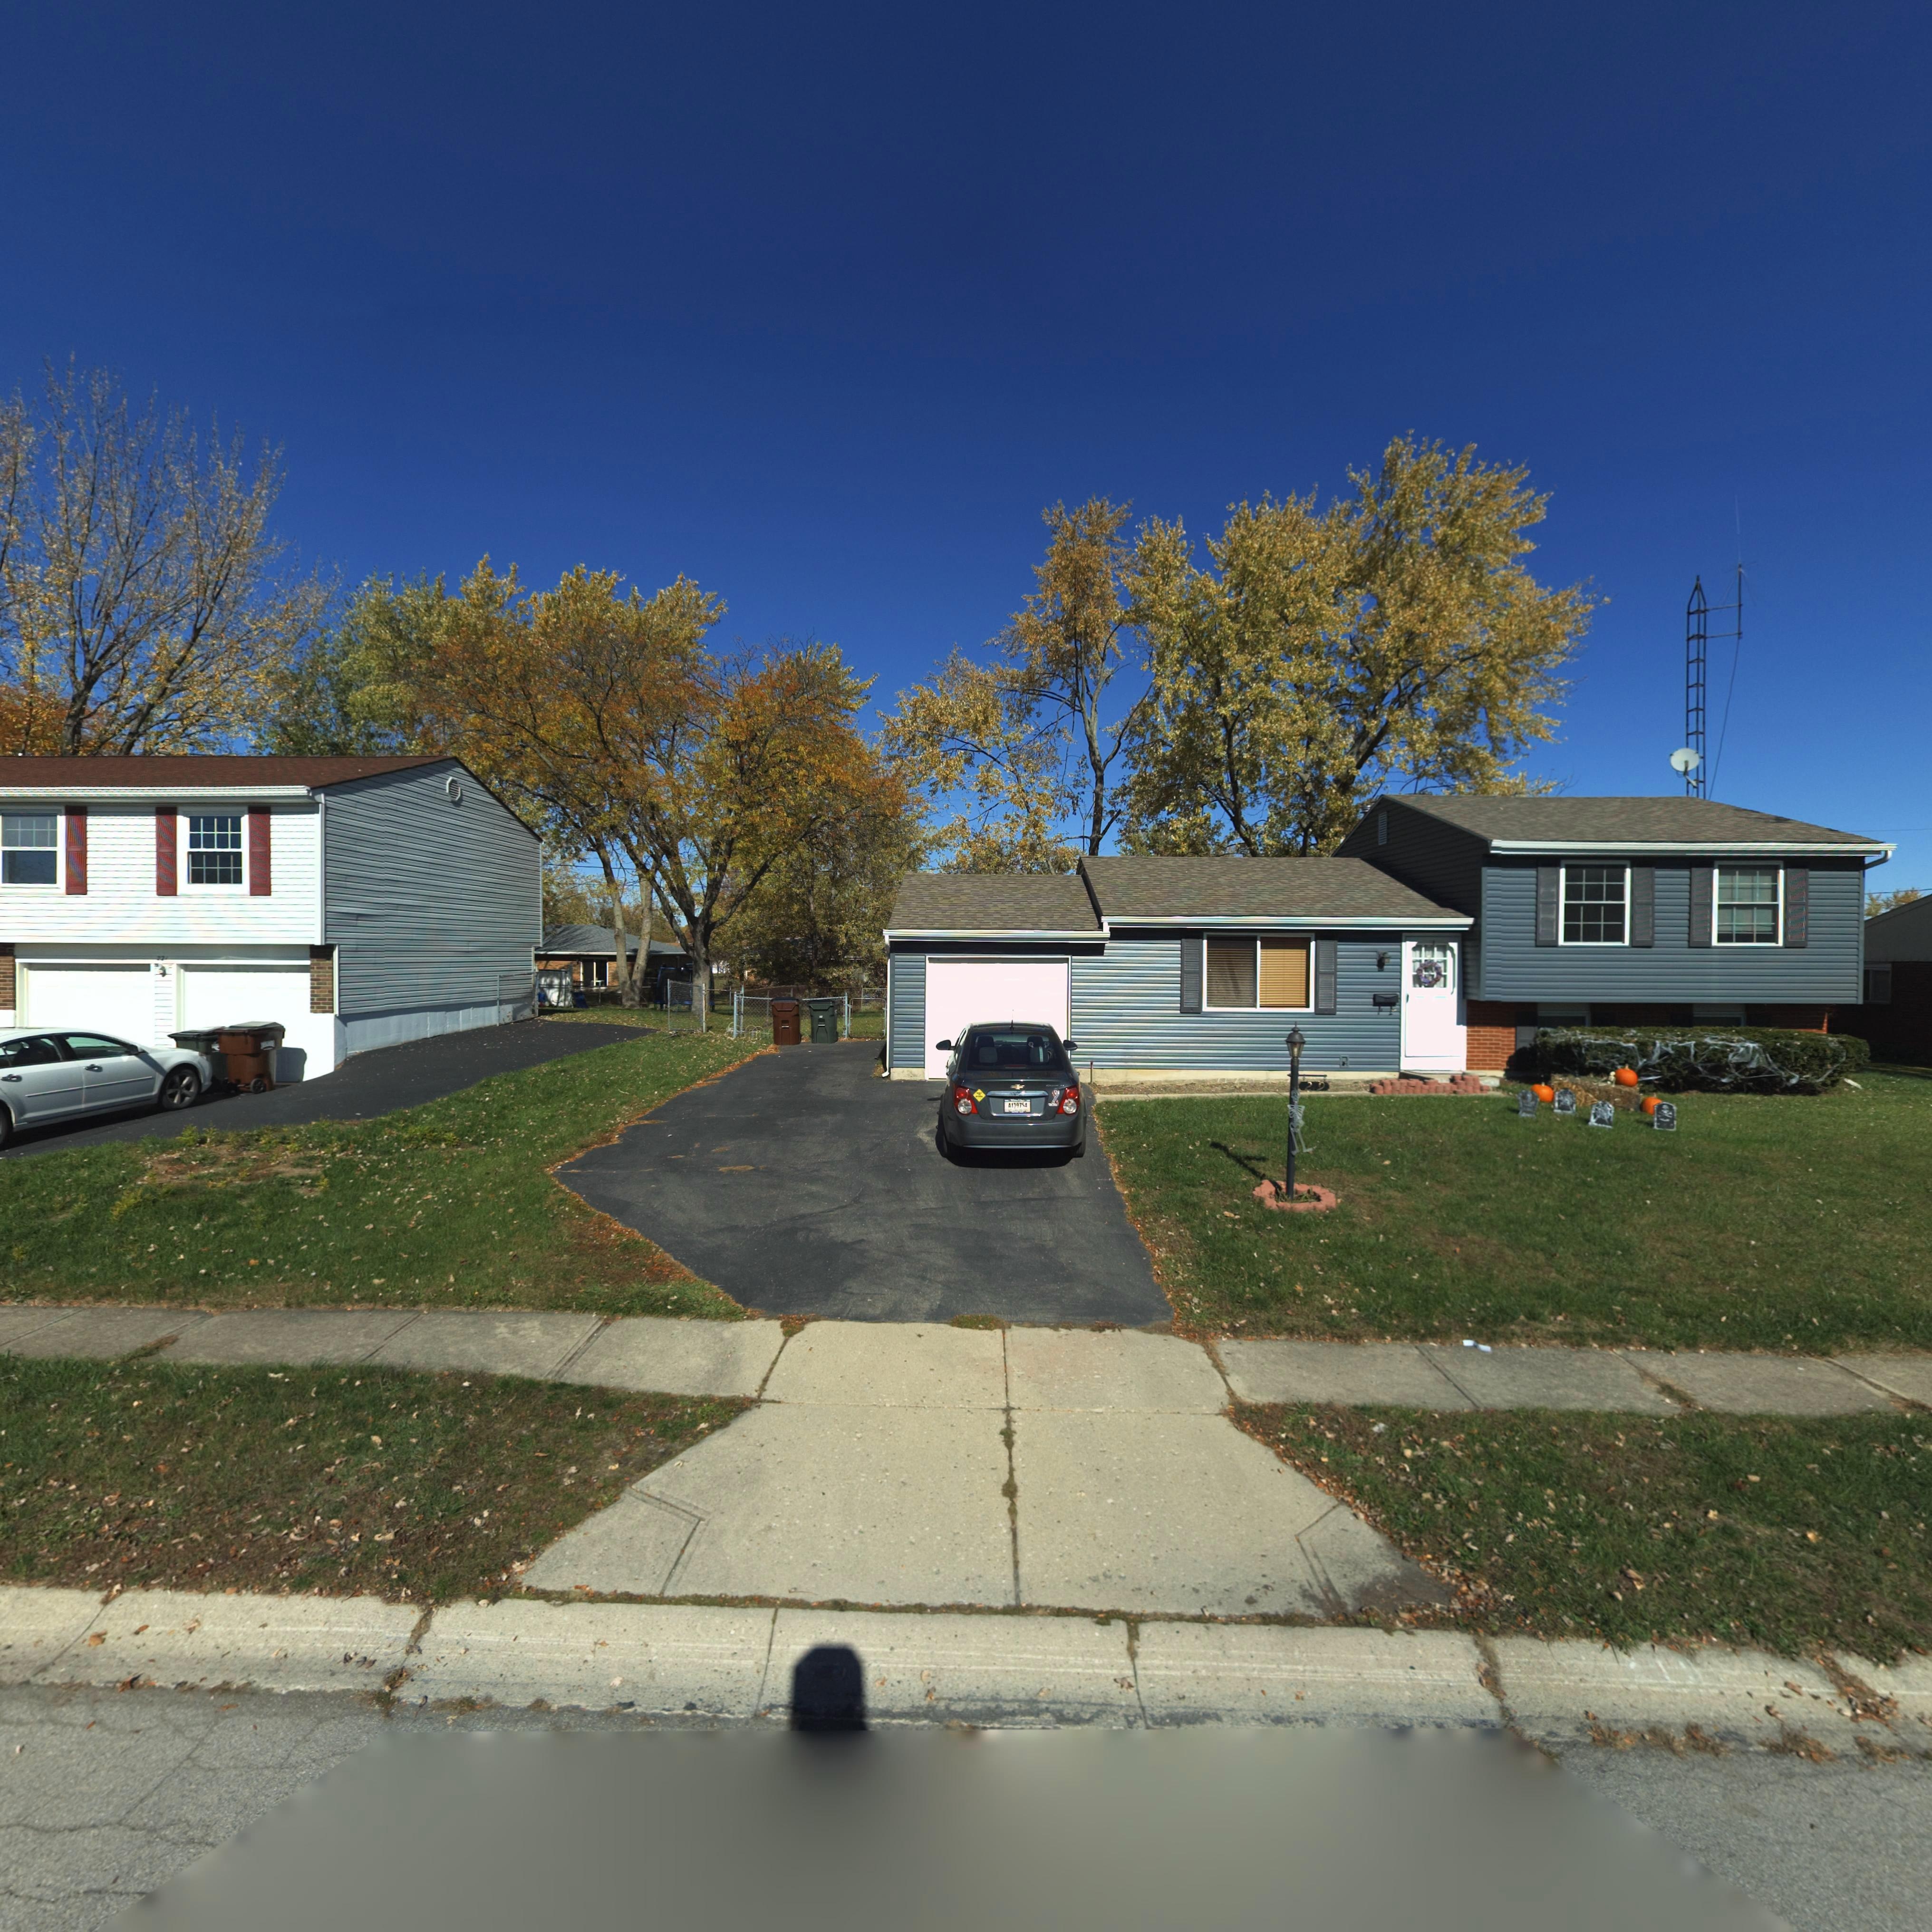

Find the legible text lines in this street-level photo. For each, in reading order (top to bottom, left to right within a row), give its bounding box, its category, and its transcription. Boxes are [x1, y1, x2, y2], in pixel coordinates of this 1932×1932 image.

[156, 955, 169, 961] StreetNumber: 221
[1304, 1081, 1326, 1091] StreetNumber: 219